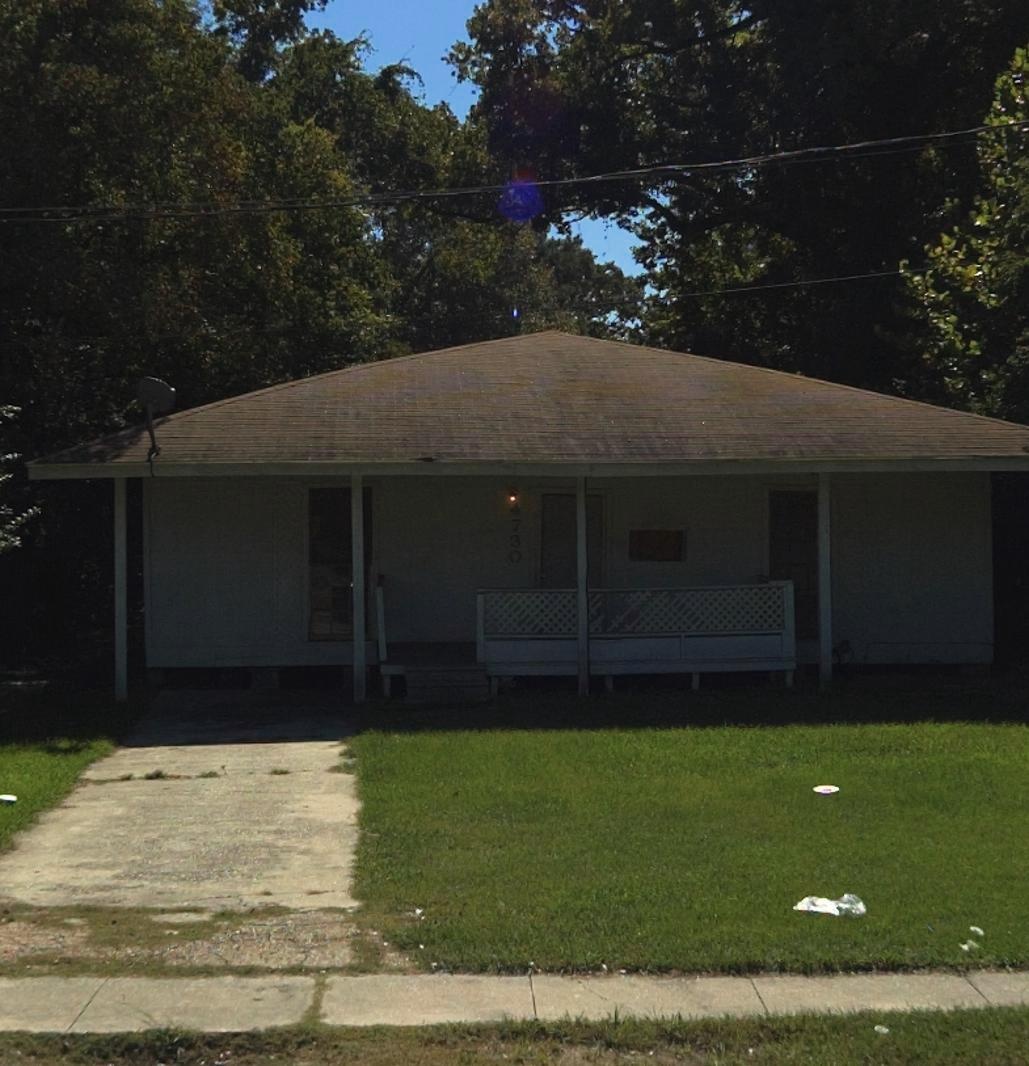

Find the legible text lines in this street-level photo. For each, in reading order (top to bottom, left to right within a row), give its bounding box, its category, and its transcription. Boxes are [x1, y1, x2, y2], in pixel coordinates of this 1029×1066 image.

[508, 501, 523, 565] StreetNumber: 4730